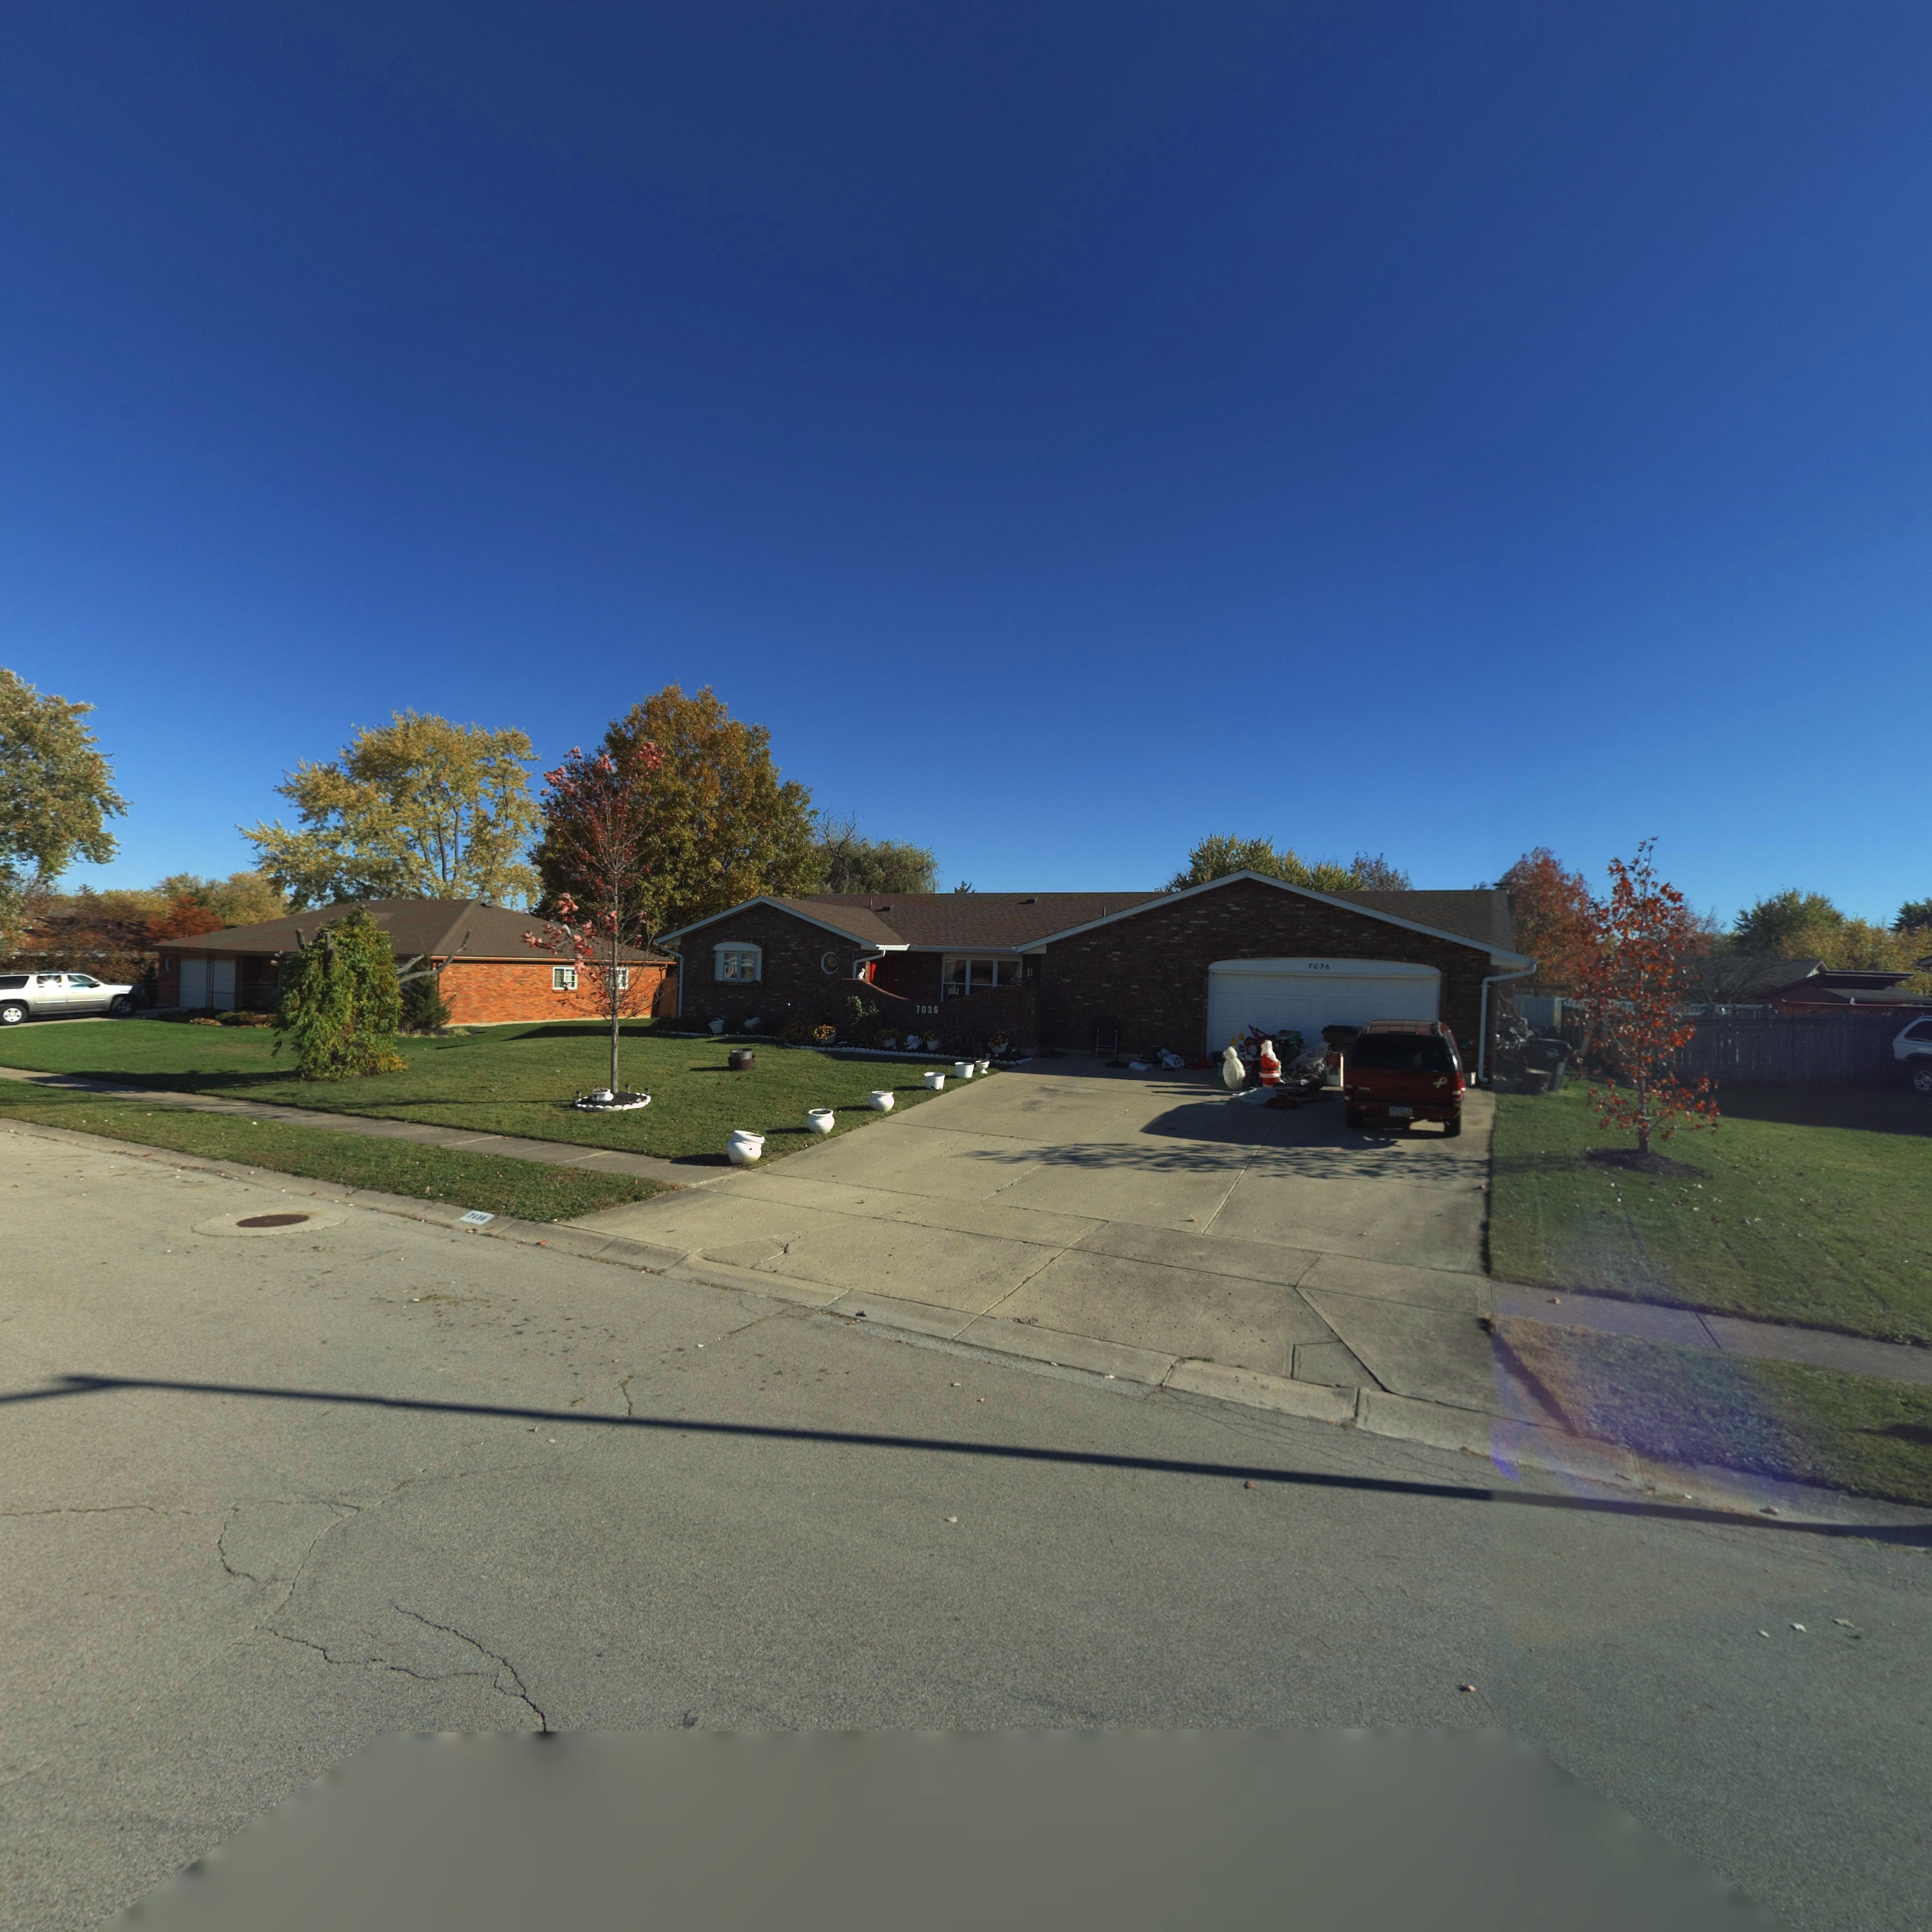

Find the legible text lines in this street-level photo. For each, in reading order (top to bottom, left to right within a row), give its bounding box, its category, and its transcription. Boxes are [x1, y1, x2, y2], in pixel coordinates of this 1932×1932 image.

[1308, 963, 1330, 970] StreetNumber: 7036
[916, 1005, 938, 1014] StreetNumber: 7036
[466, 1212, 488, 1221] StreetNumber: 703*